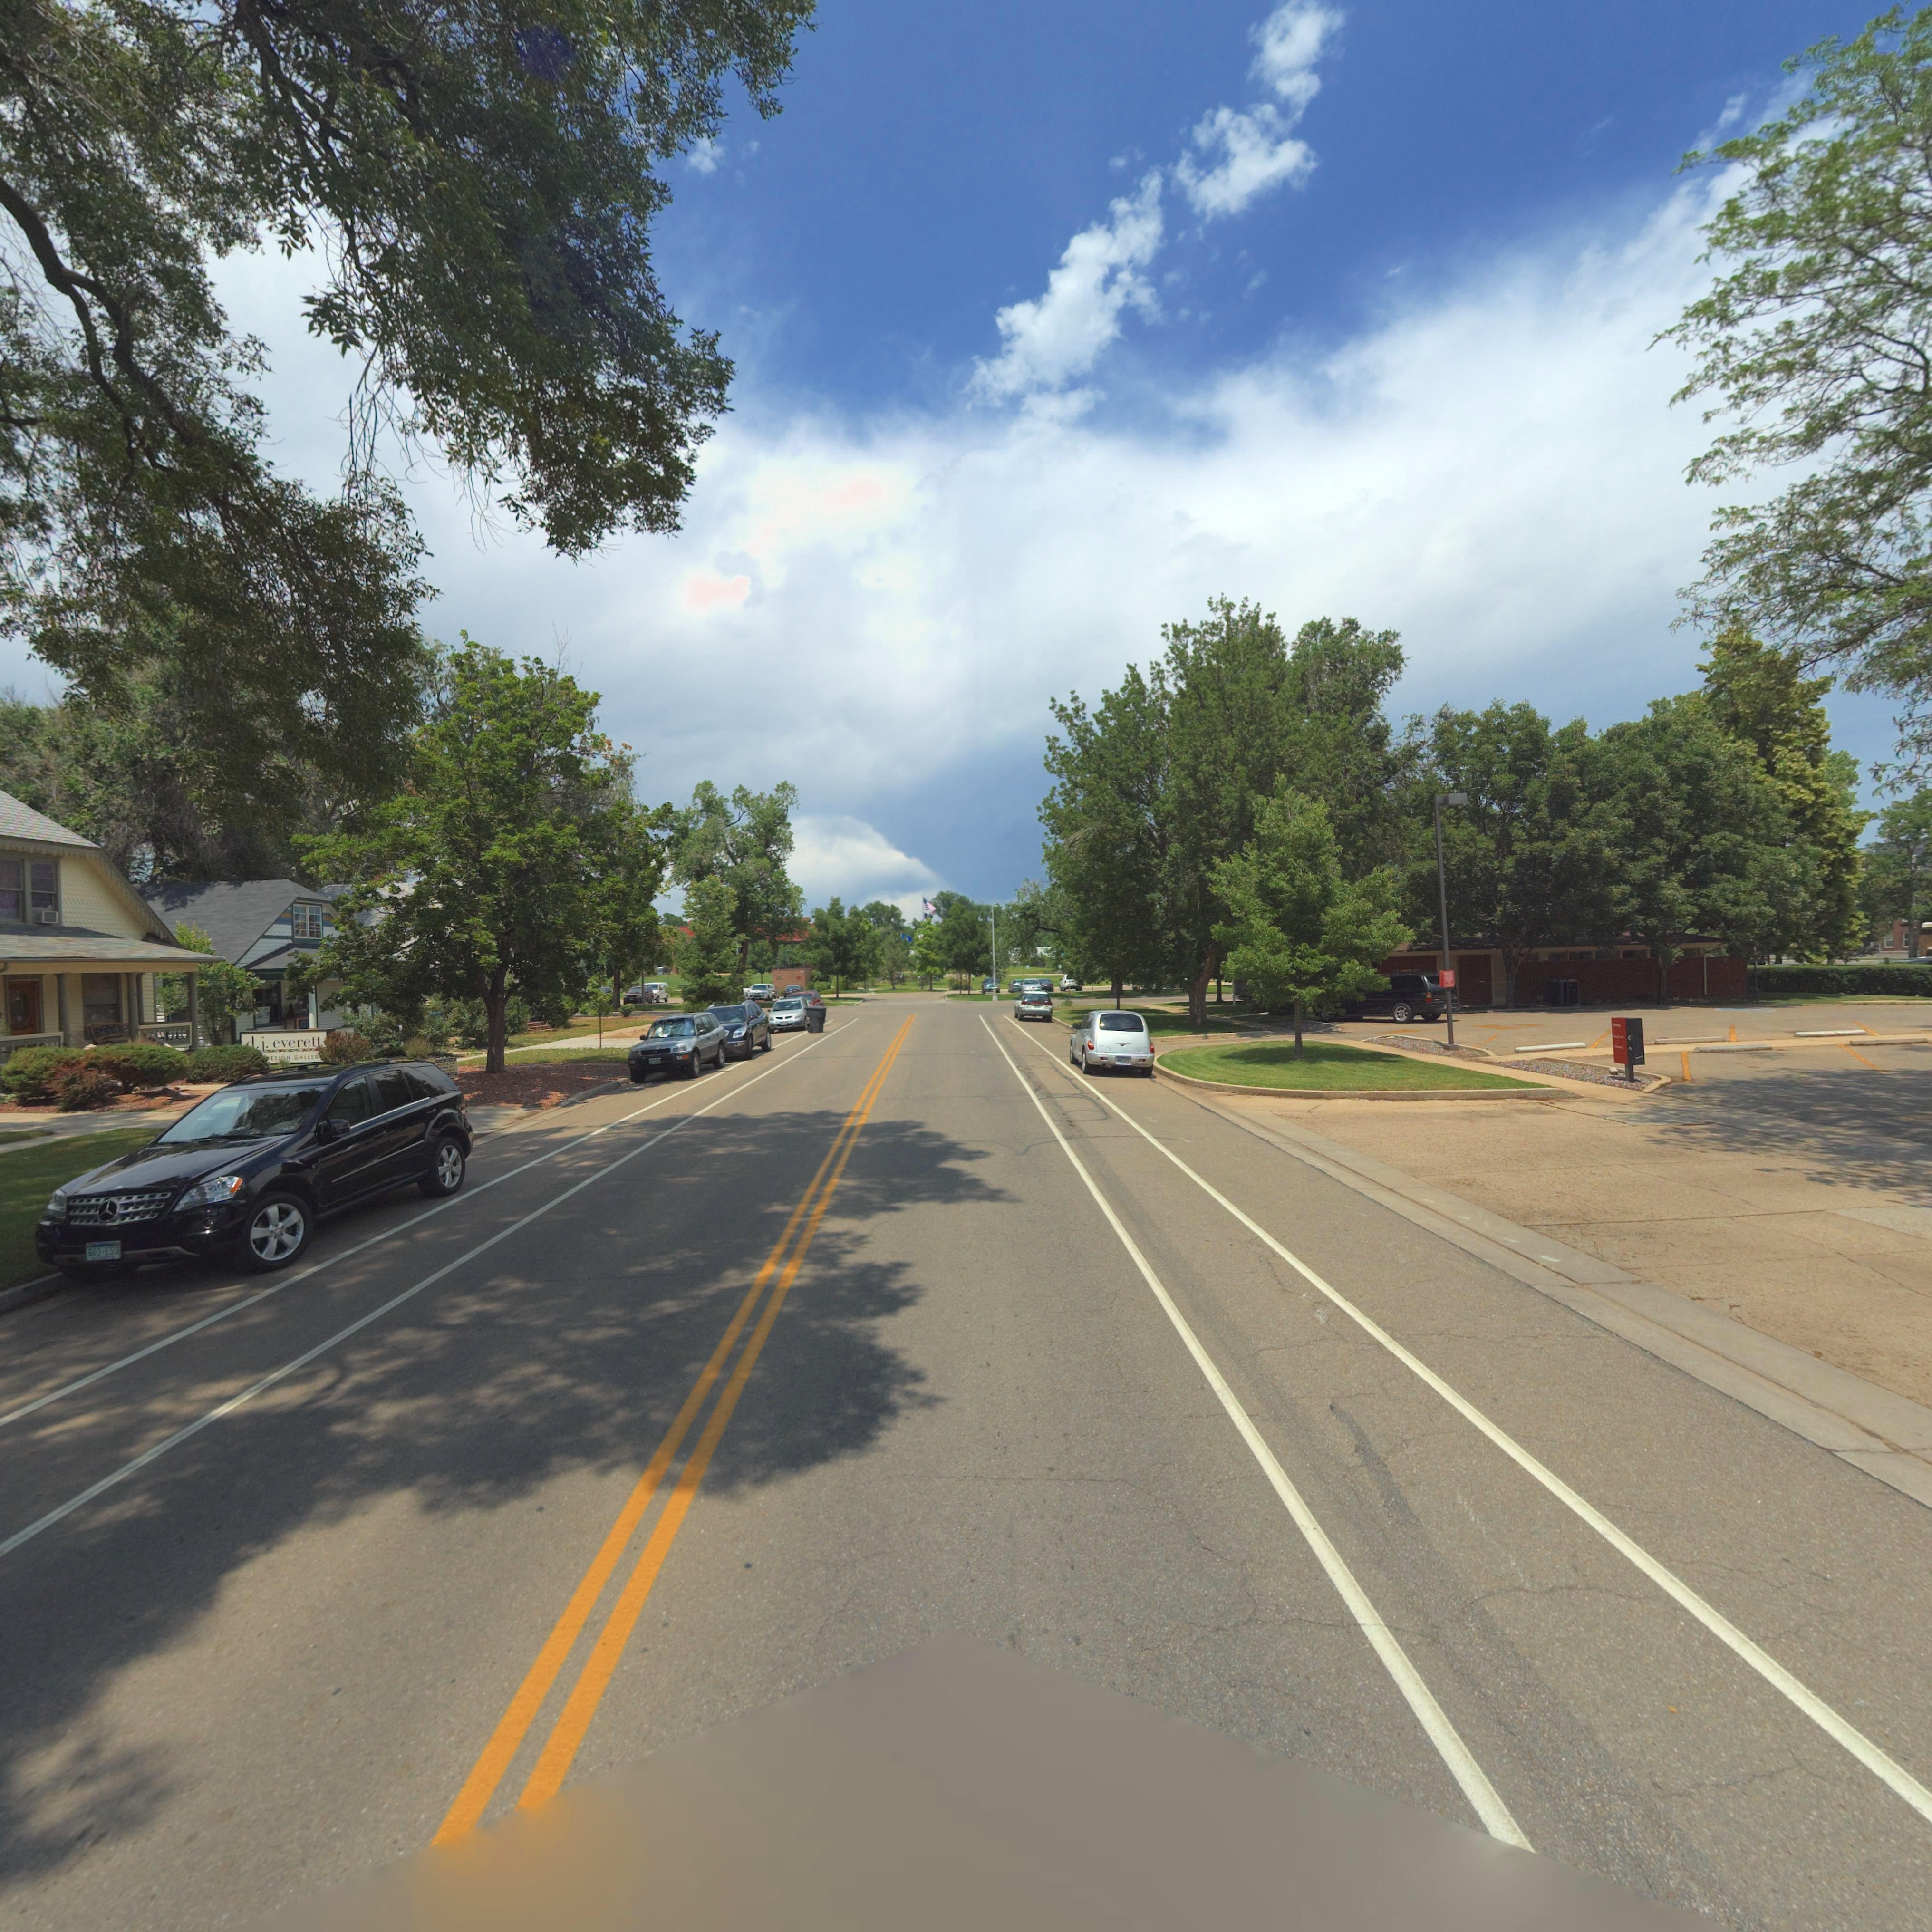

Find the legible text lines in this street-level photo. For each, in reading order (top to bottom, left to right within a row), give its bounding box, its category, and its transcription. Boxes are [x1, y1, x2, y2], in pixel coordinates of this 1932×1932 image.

[246, 1035, 320, 1052] BusinessName: *.j. everett
[270, 1053, 318, 1060] BusinessName: ES**N GALLER